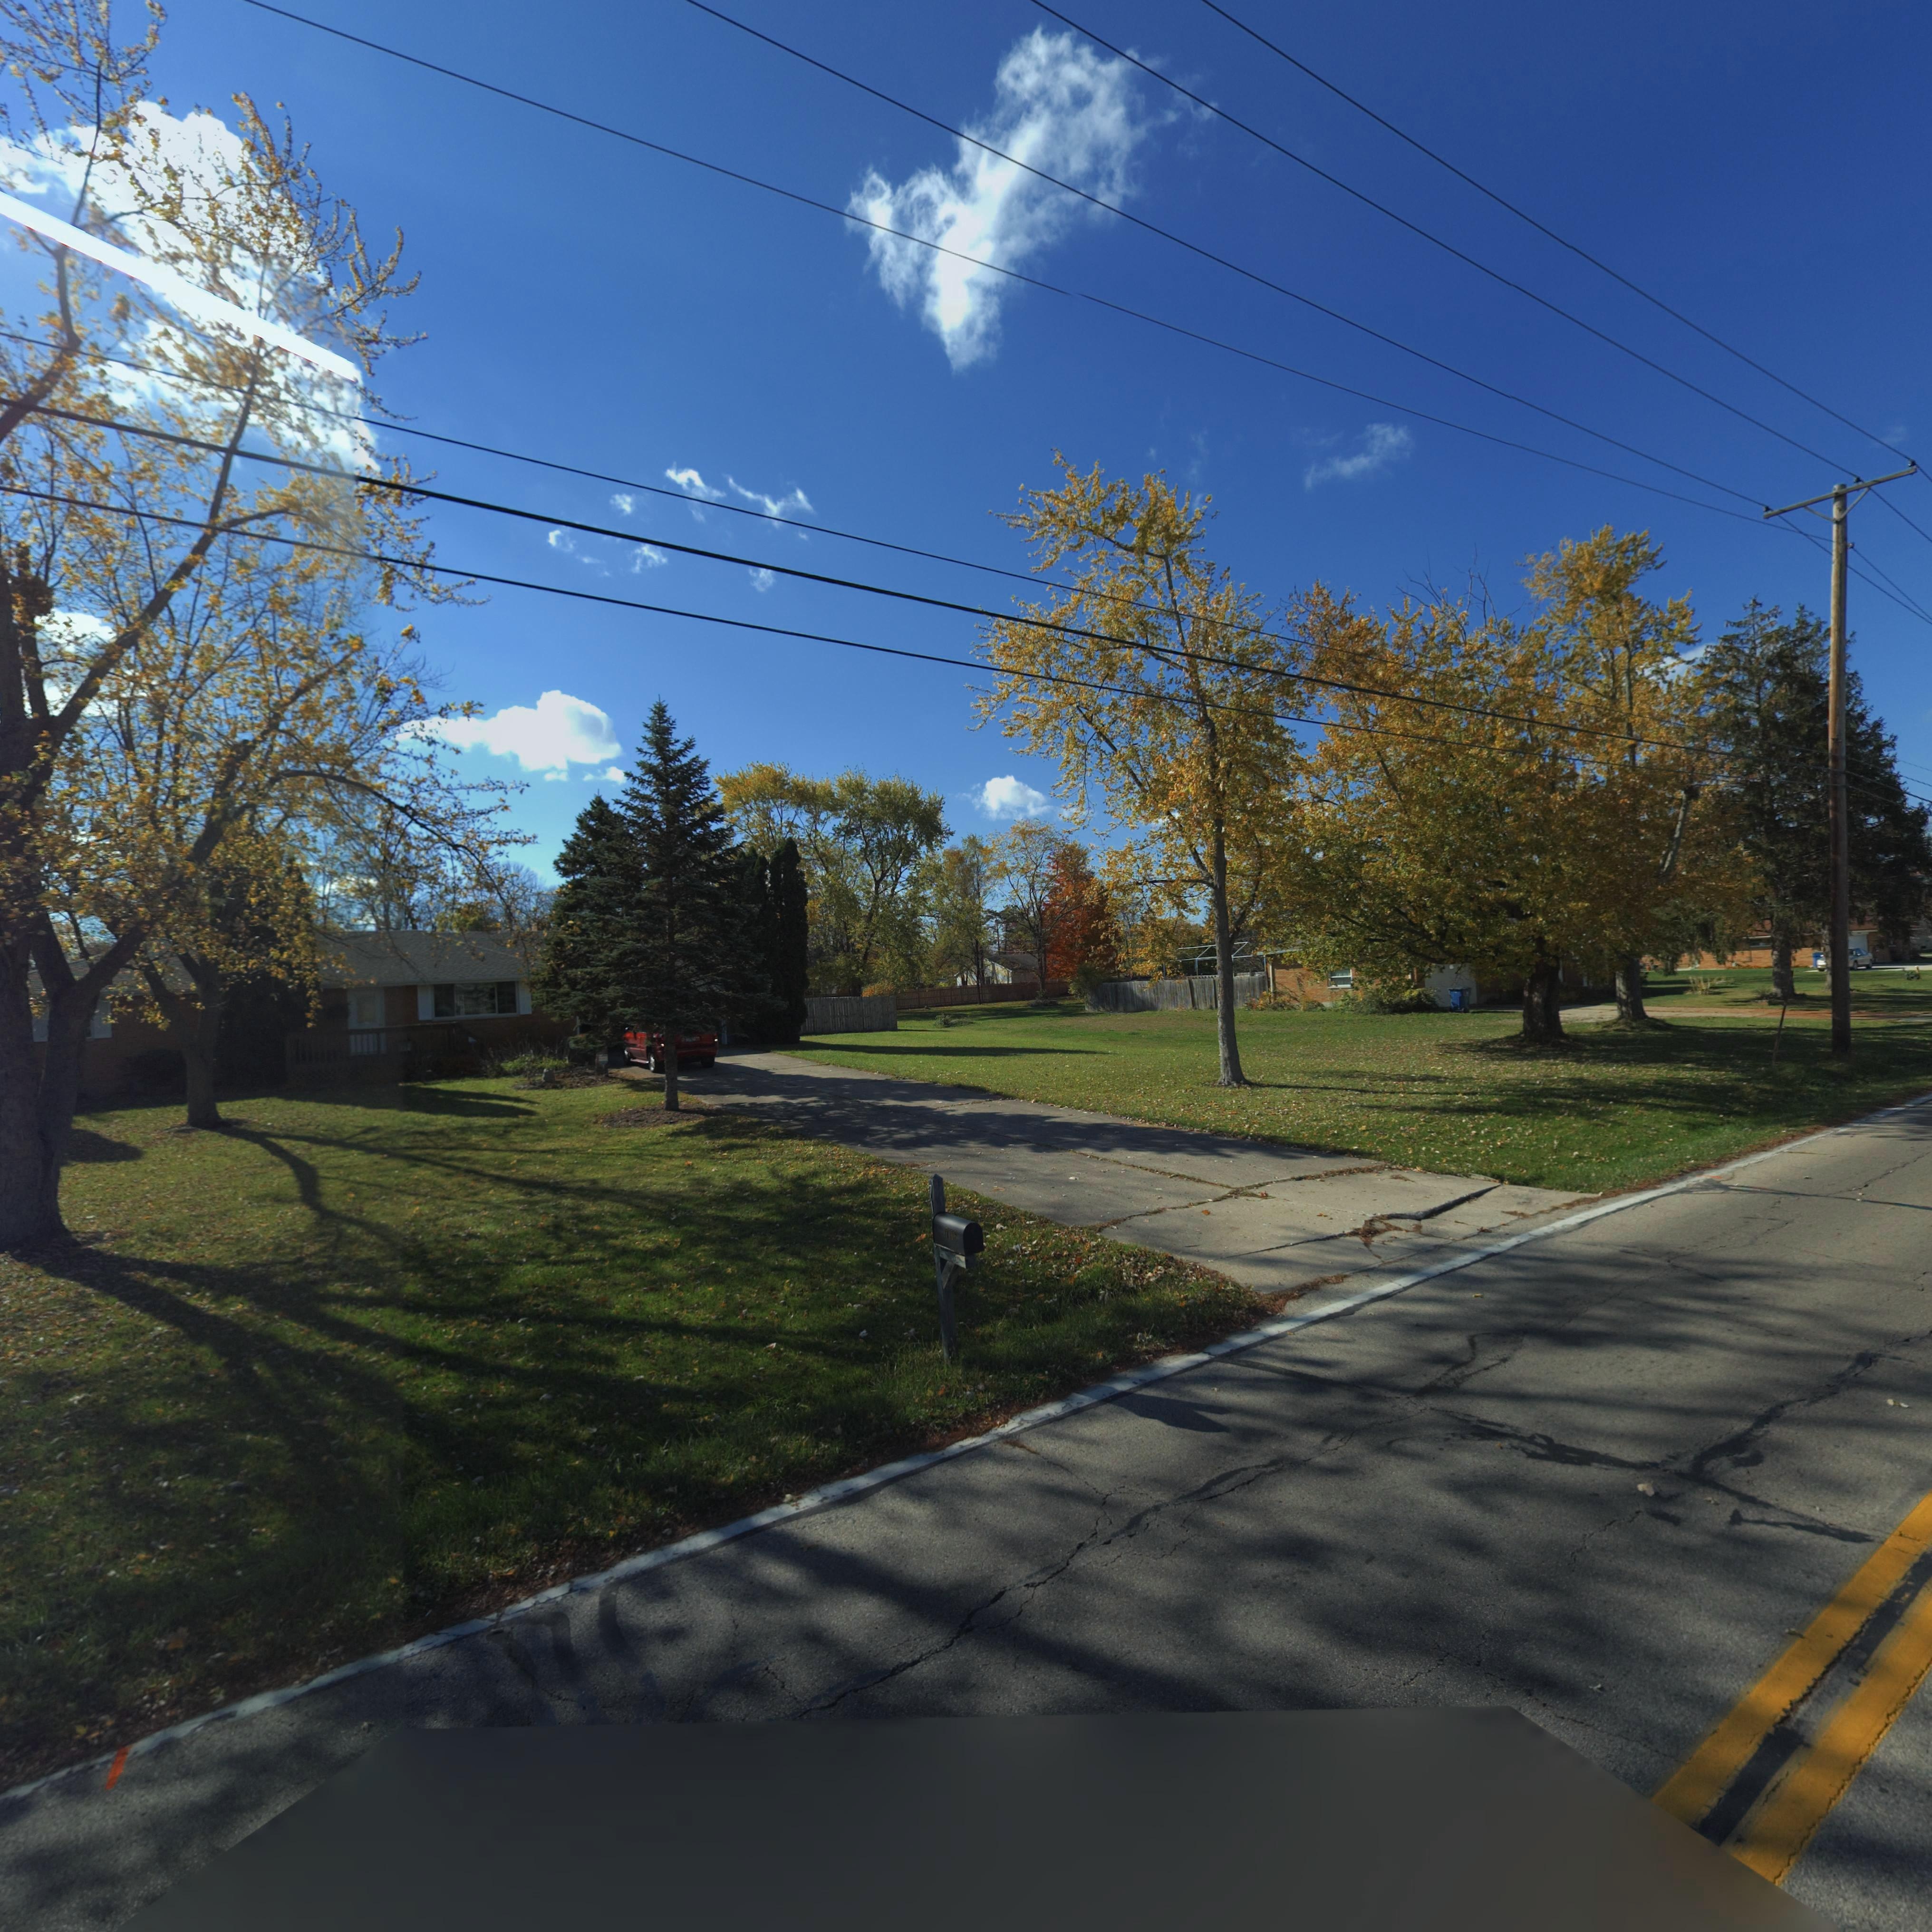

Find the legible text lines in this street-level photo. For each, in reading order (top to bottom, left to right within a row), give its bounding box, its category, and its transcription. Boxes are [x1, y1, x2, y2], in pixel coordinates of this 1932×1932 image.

[927, 1183, 935, 1216] StreetNumber: 71
[944, 1226, 958, 1243] StreetNumber: ***6